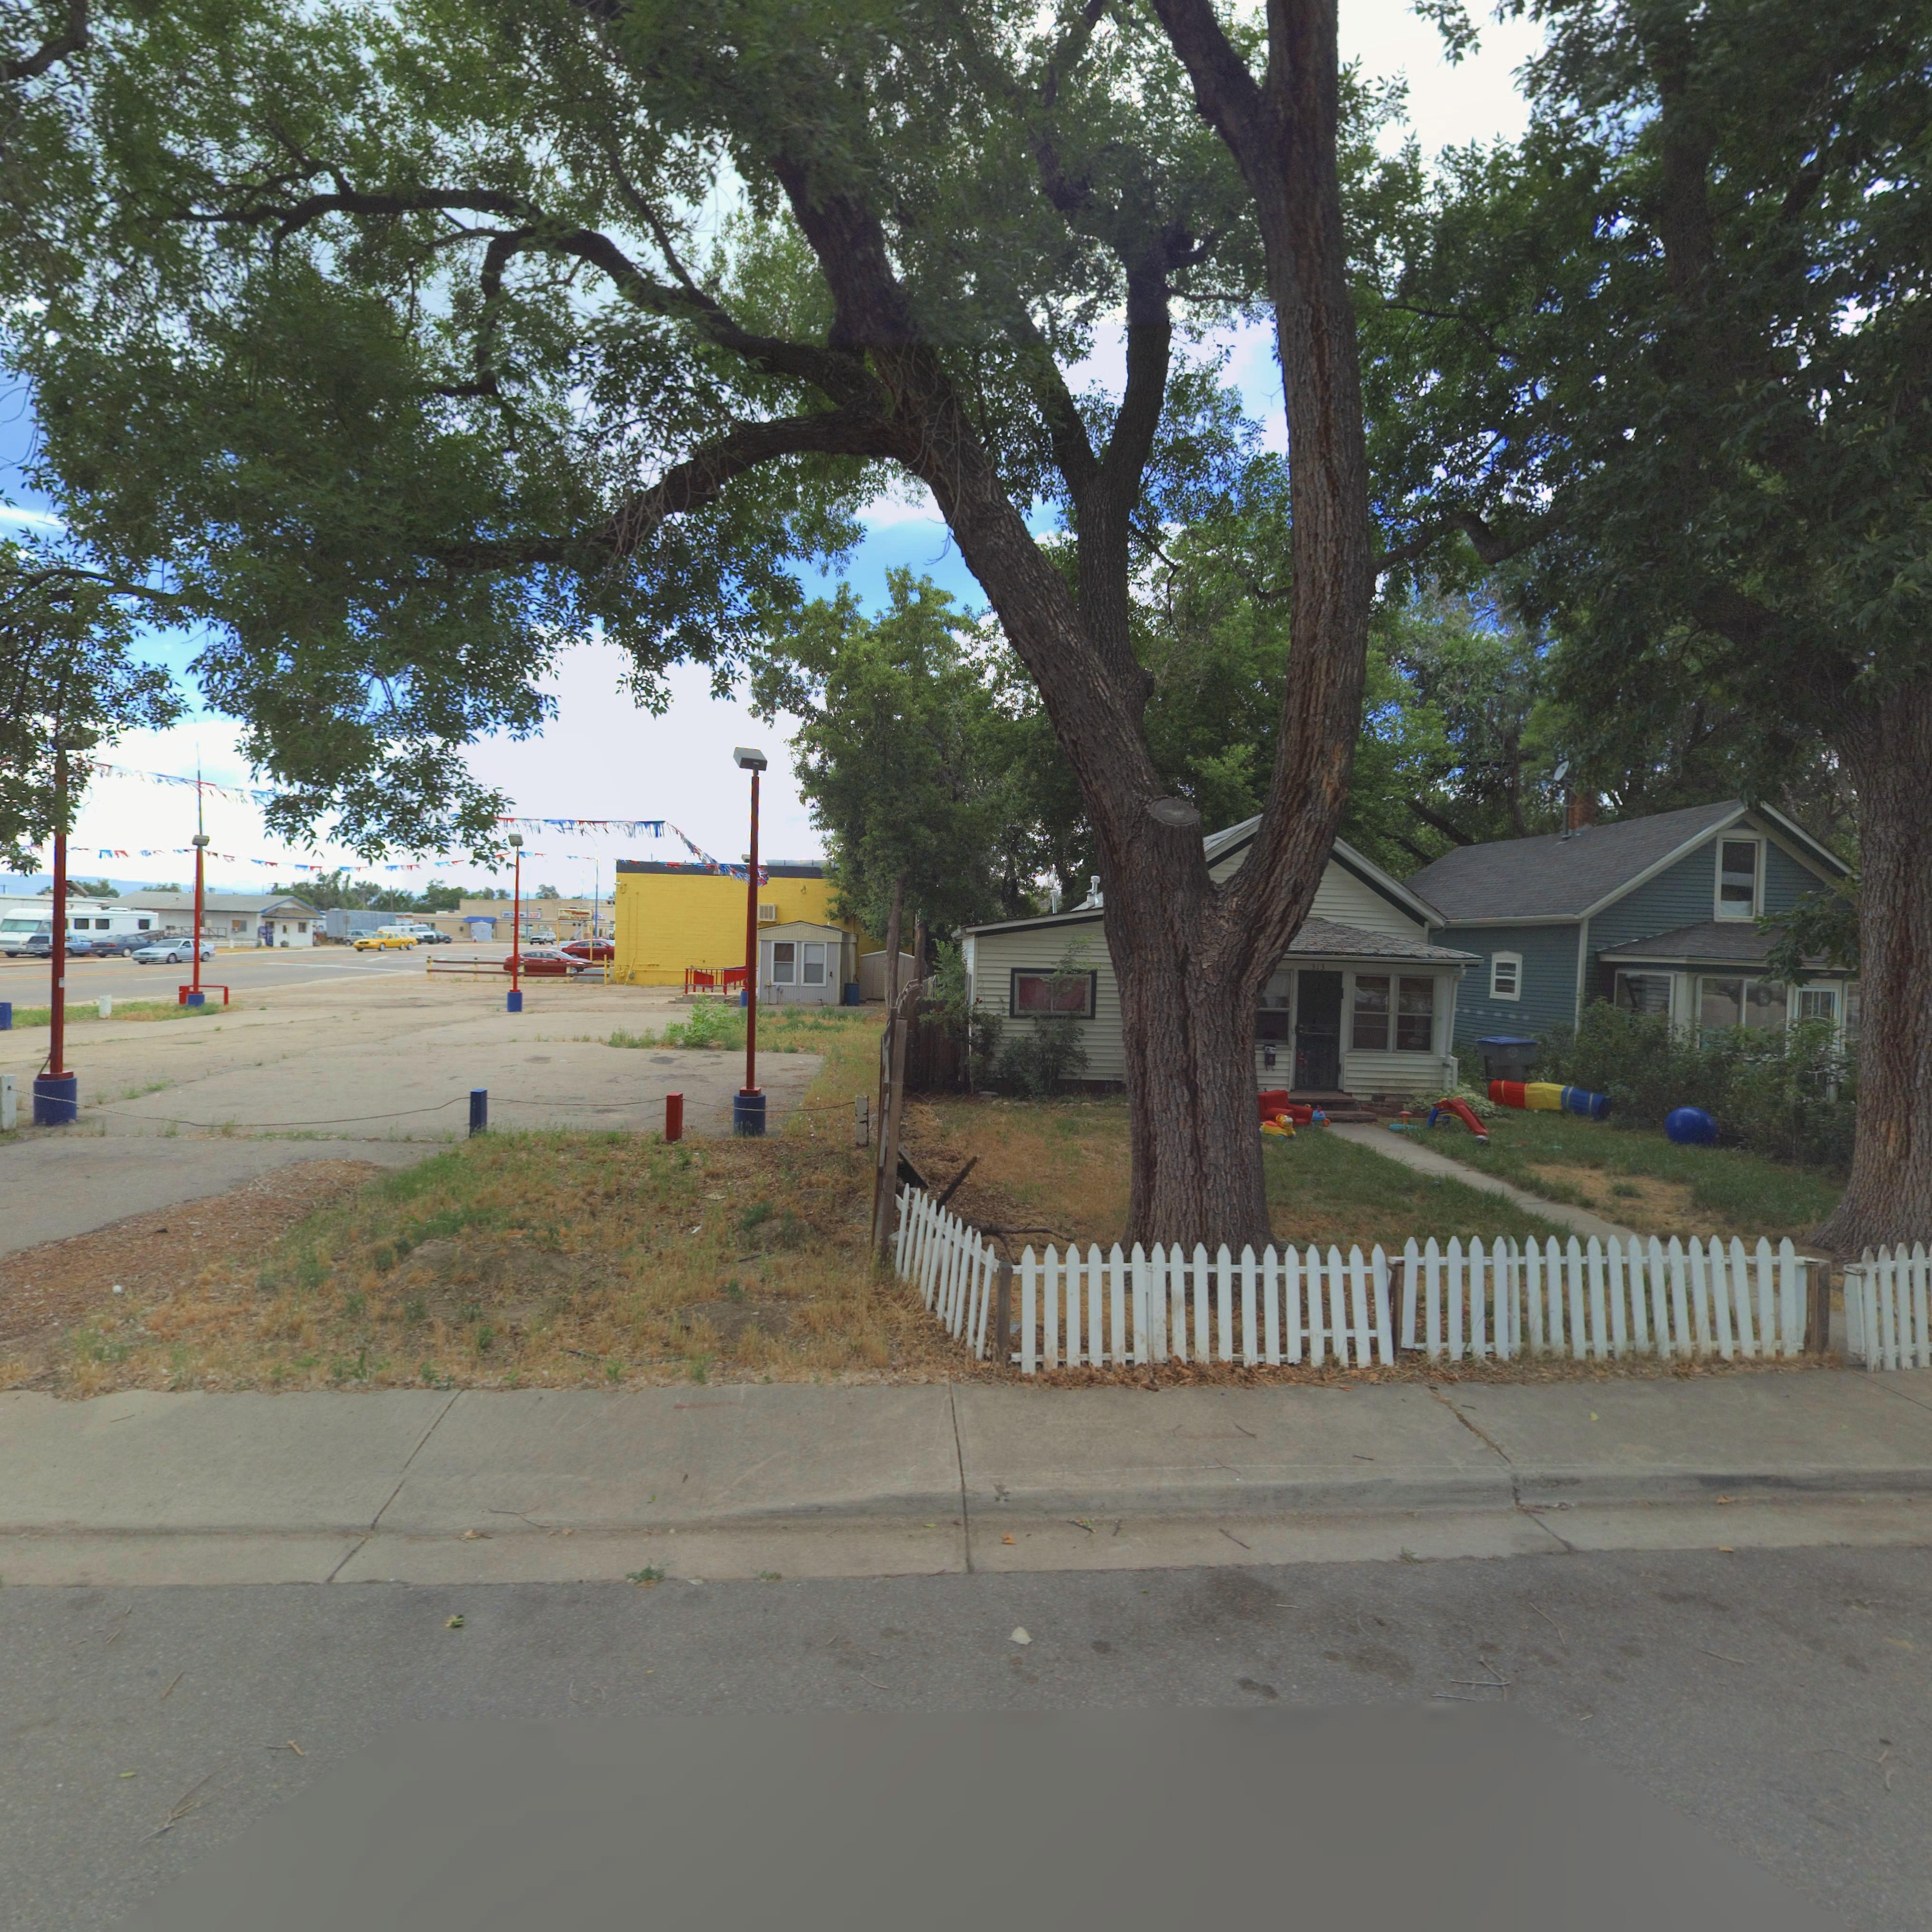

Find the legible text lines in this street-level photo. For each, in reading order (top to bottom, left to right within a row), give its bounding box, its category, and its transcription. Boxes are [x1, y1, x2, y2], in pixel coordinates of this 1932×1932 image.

[1311, 963, 1325, 970] StreetNumber: 313